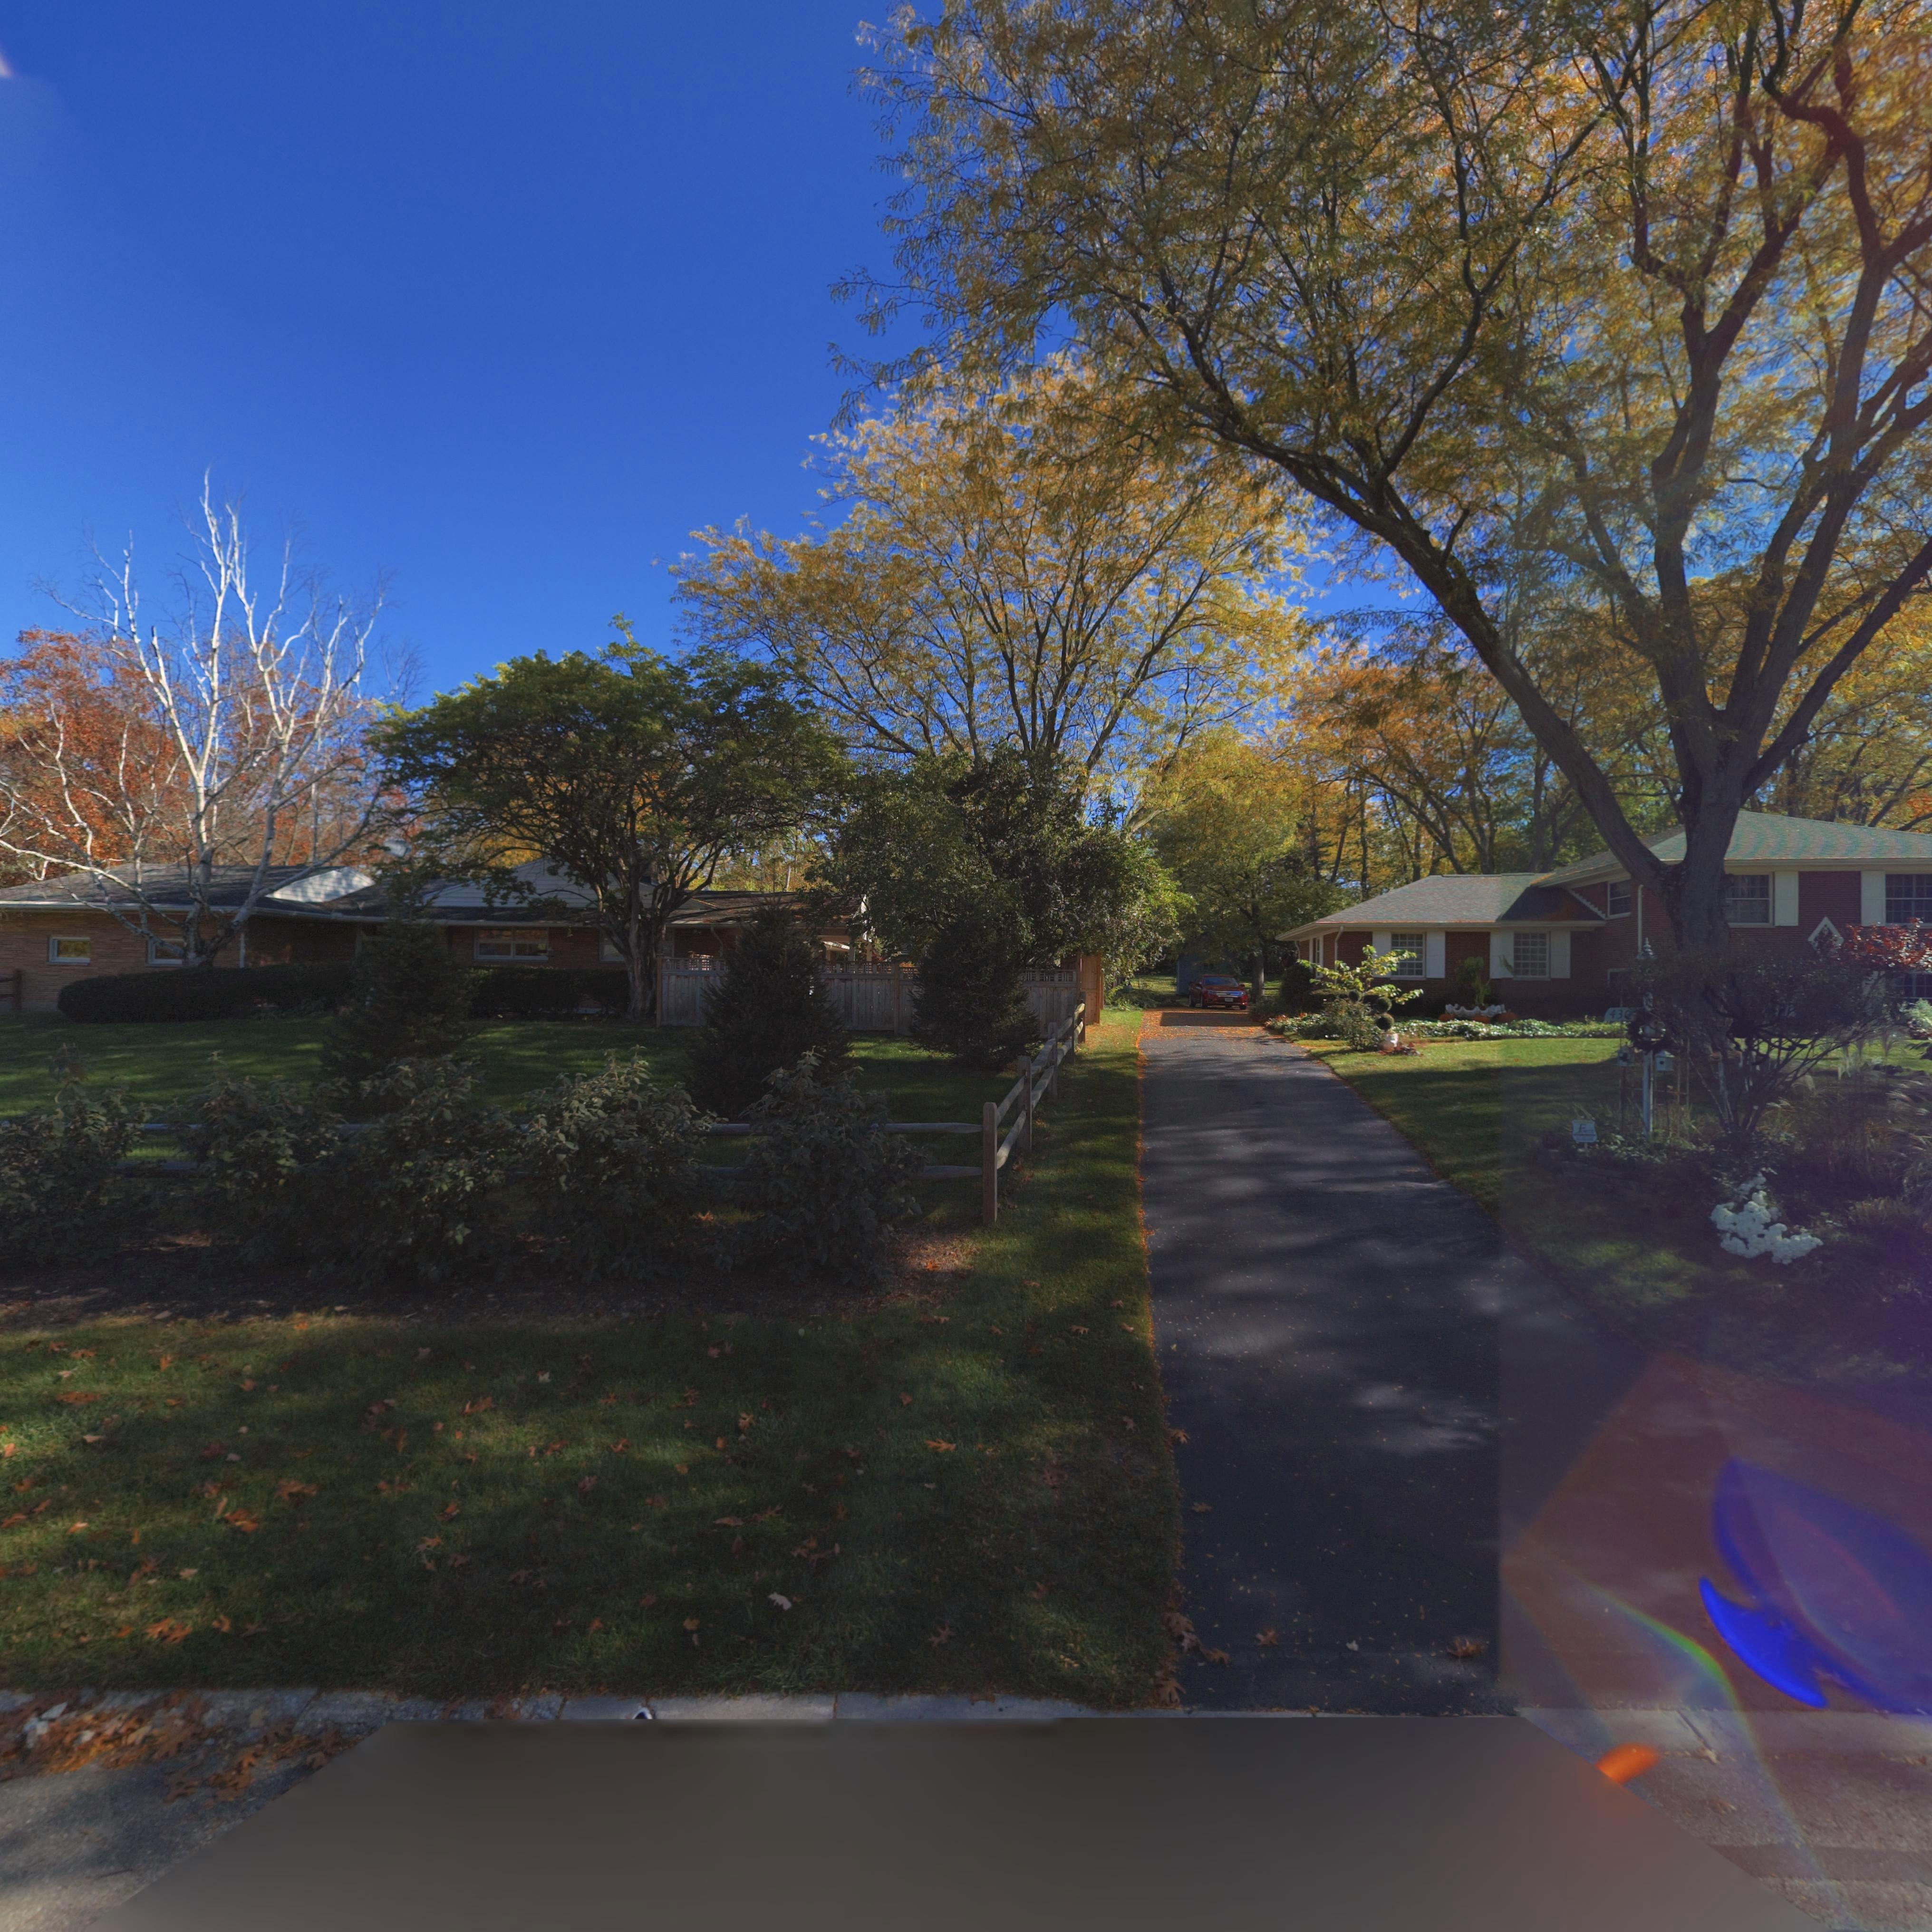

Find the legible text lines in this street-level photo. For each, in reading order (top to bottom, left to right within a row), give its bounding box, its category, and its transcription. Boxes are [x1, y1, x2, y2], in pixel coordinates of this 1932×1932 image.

[1608, 1008, 1632, 1019] StreetNumber: 430